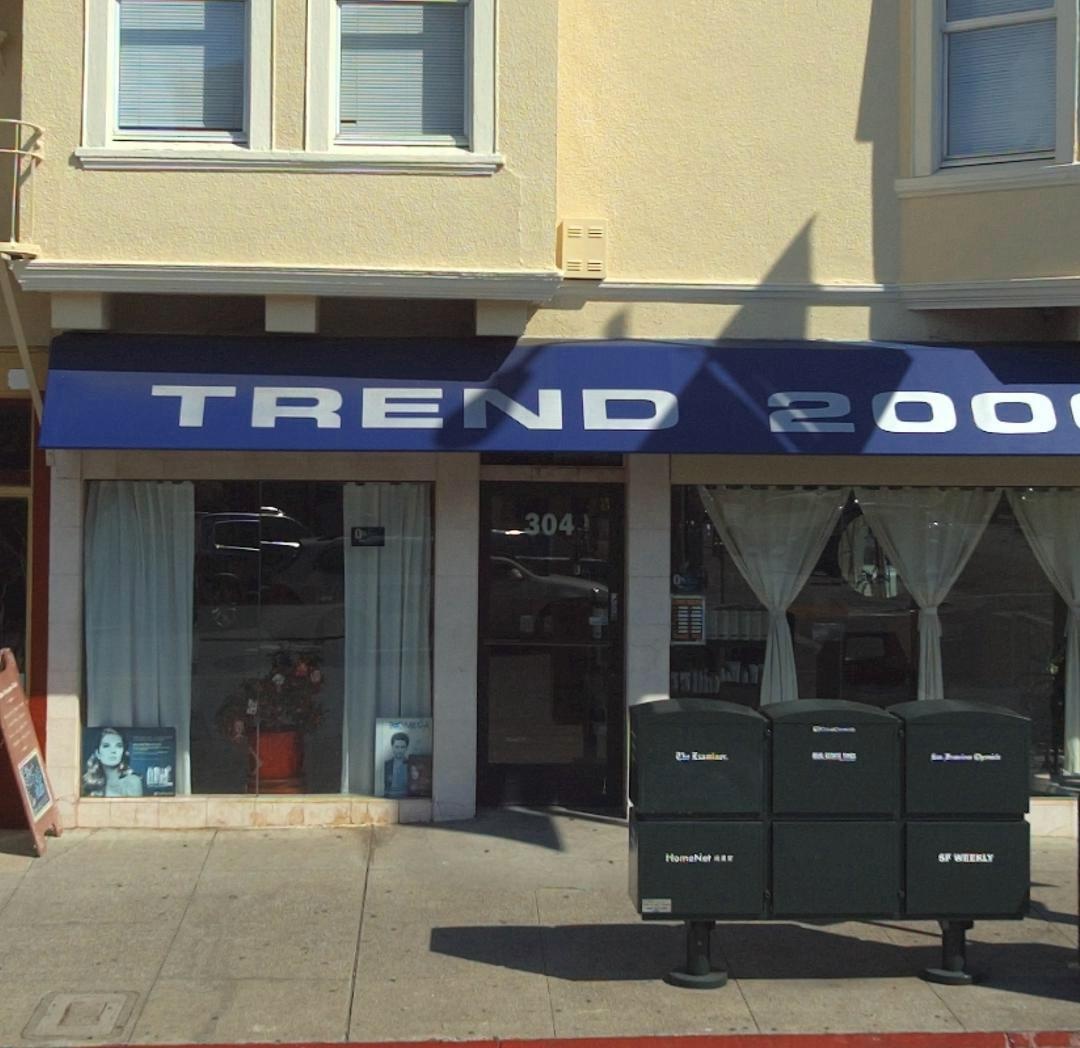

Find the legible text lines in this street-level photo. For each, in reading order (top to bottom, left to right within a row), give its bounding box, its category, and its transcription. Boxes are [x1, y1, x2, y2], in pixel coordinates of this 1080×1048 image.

[148, 381, 1061, 436] BusinessName: TREND 200
[523, 511, 577, 539] StreetNumber: 304
[663, 851, 712, 864] None: HomeNet
[935, 850, 996, 864] None: SF WEEKLY